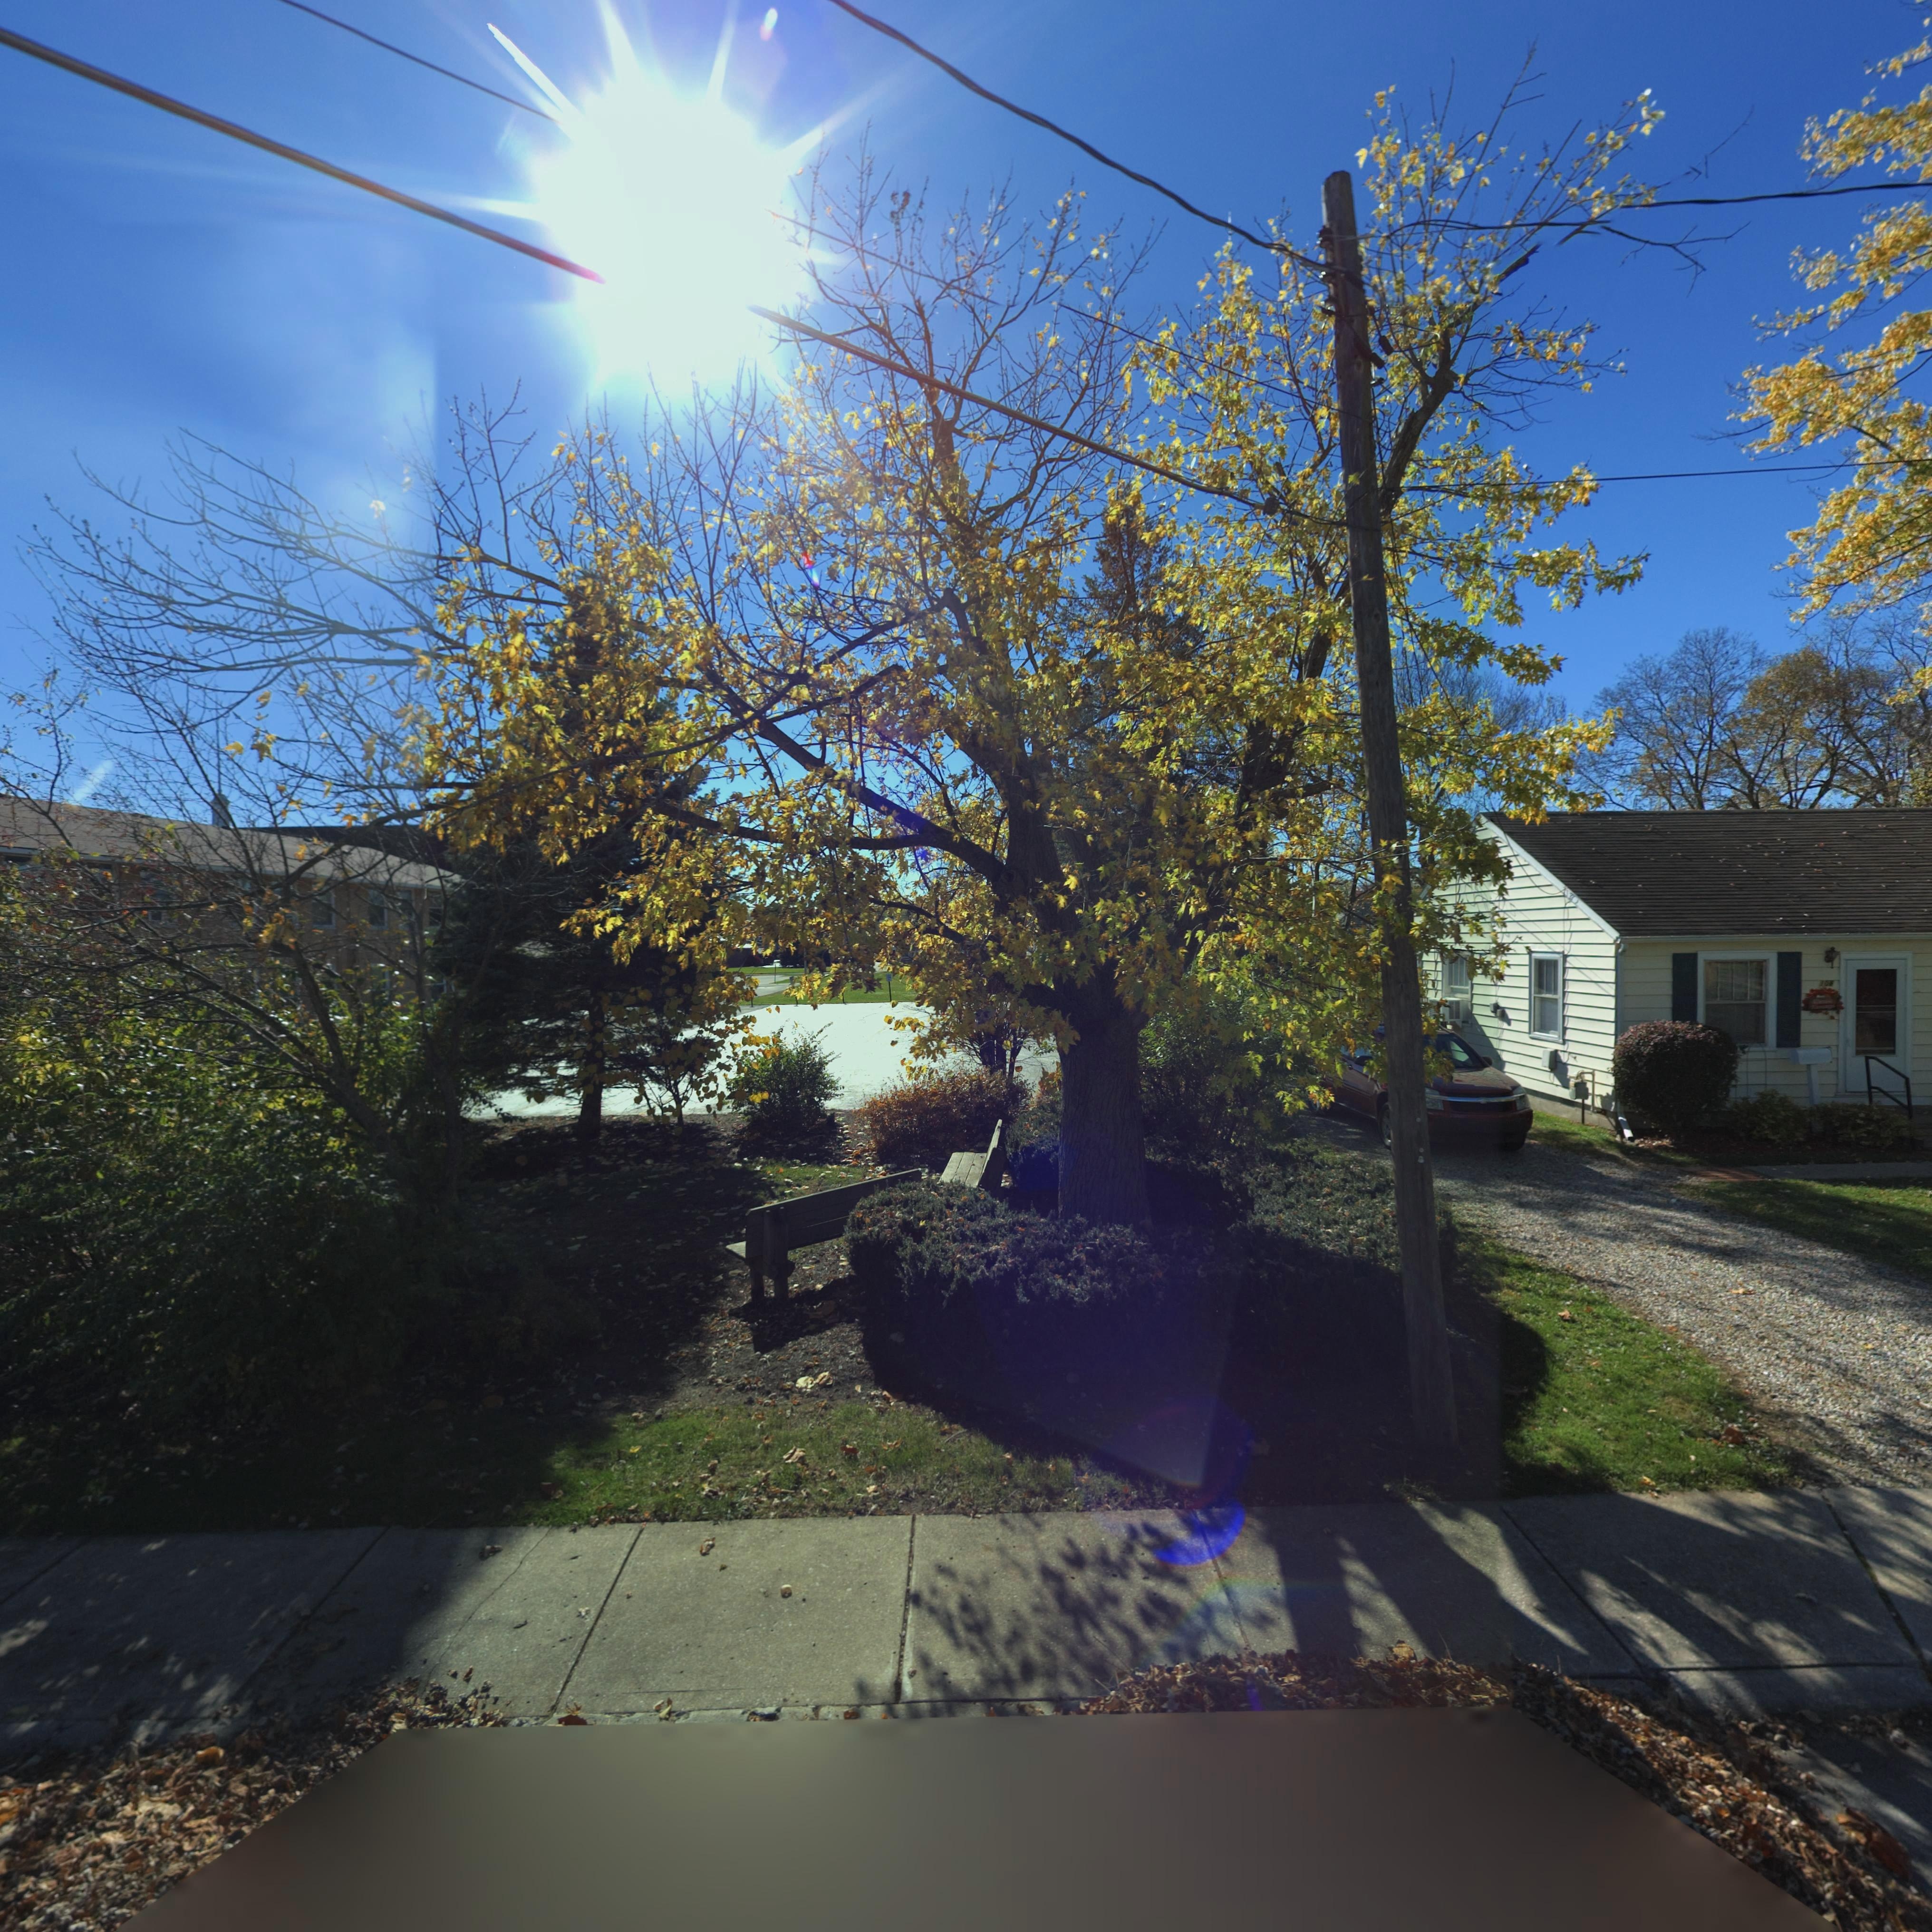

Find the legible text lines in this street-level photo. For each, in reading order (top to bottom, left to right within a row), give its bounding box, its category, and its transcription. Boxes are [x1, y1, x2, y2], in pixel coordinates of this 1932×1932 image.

[1818, 980, 1836, 987] StreetNumber: 108